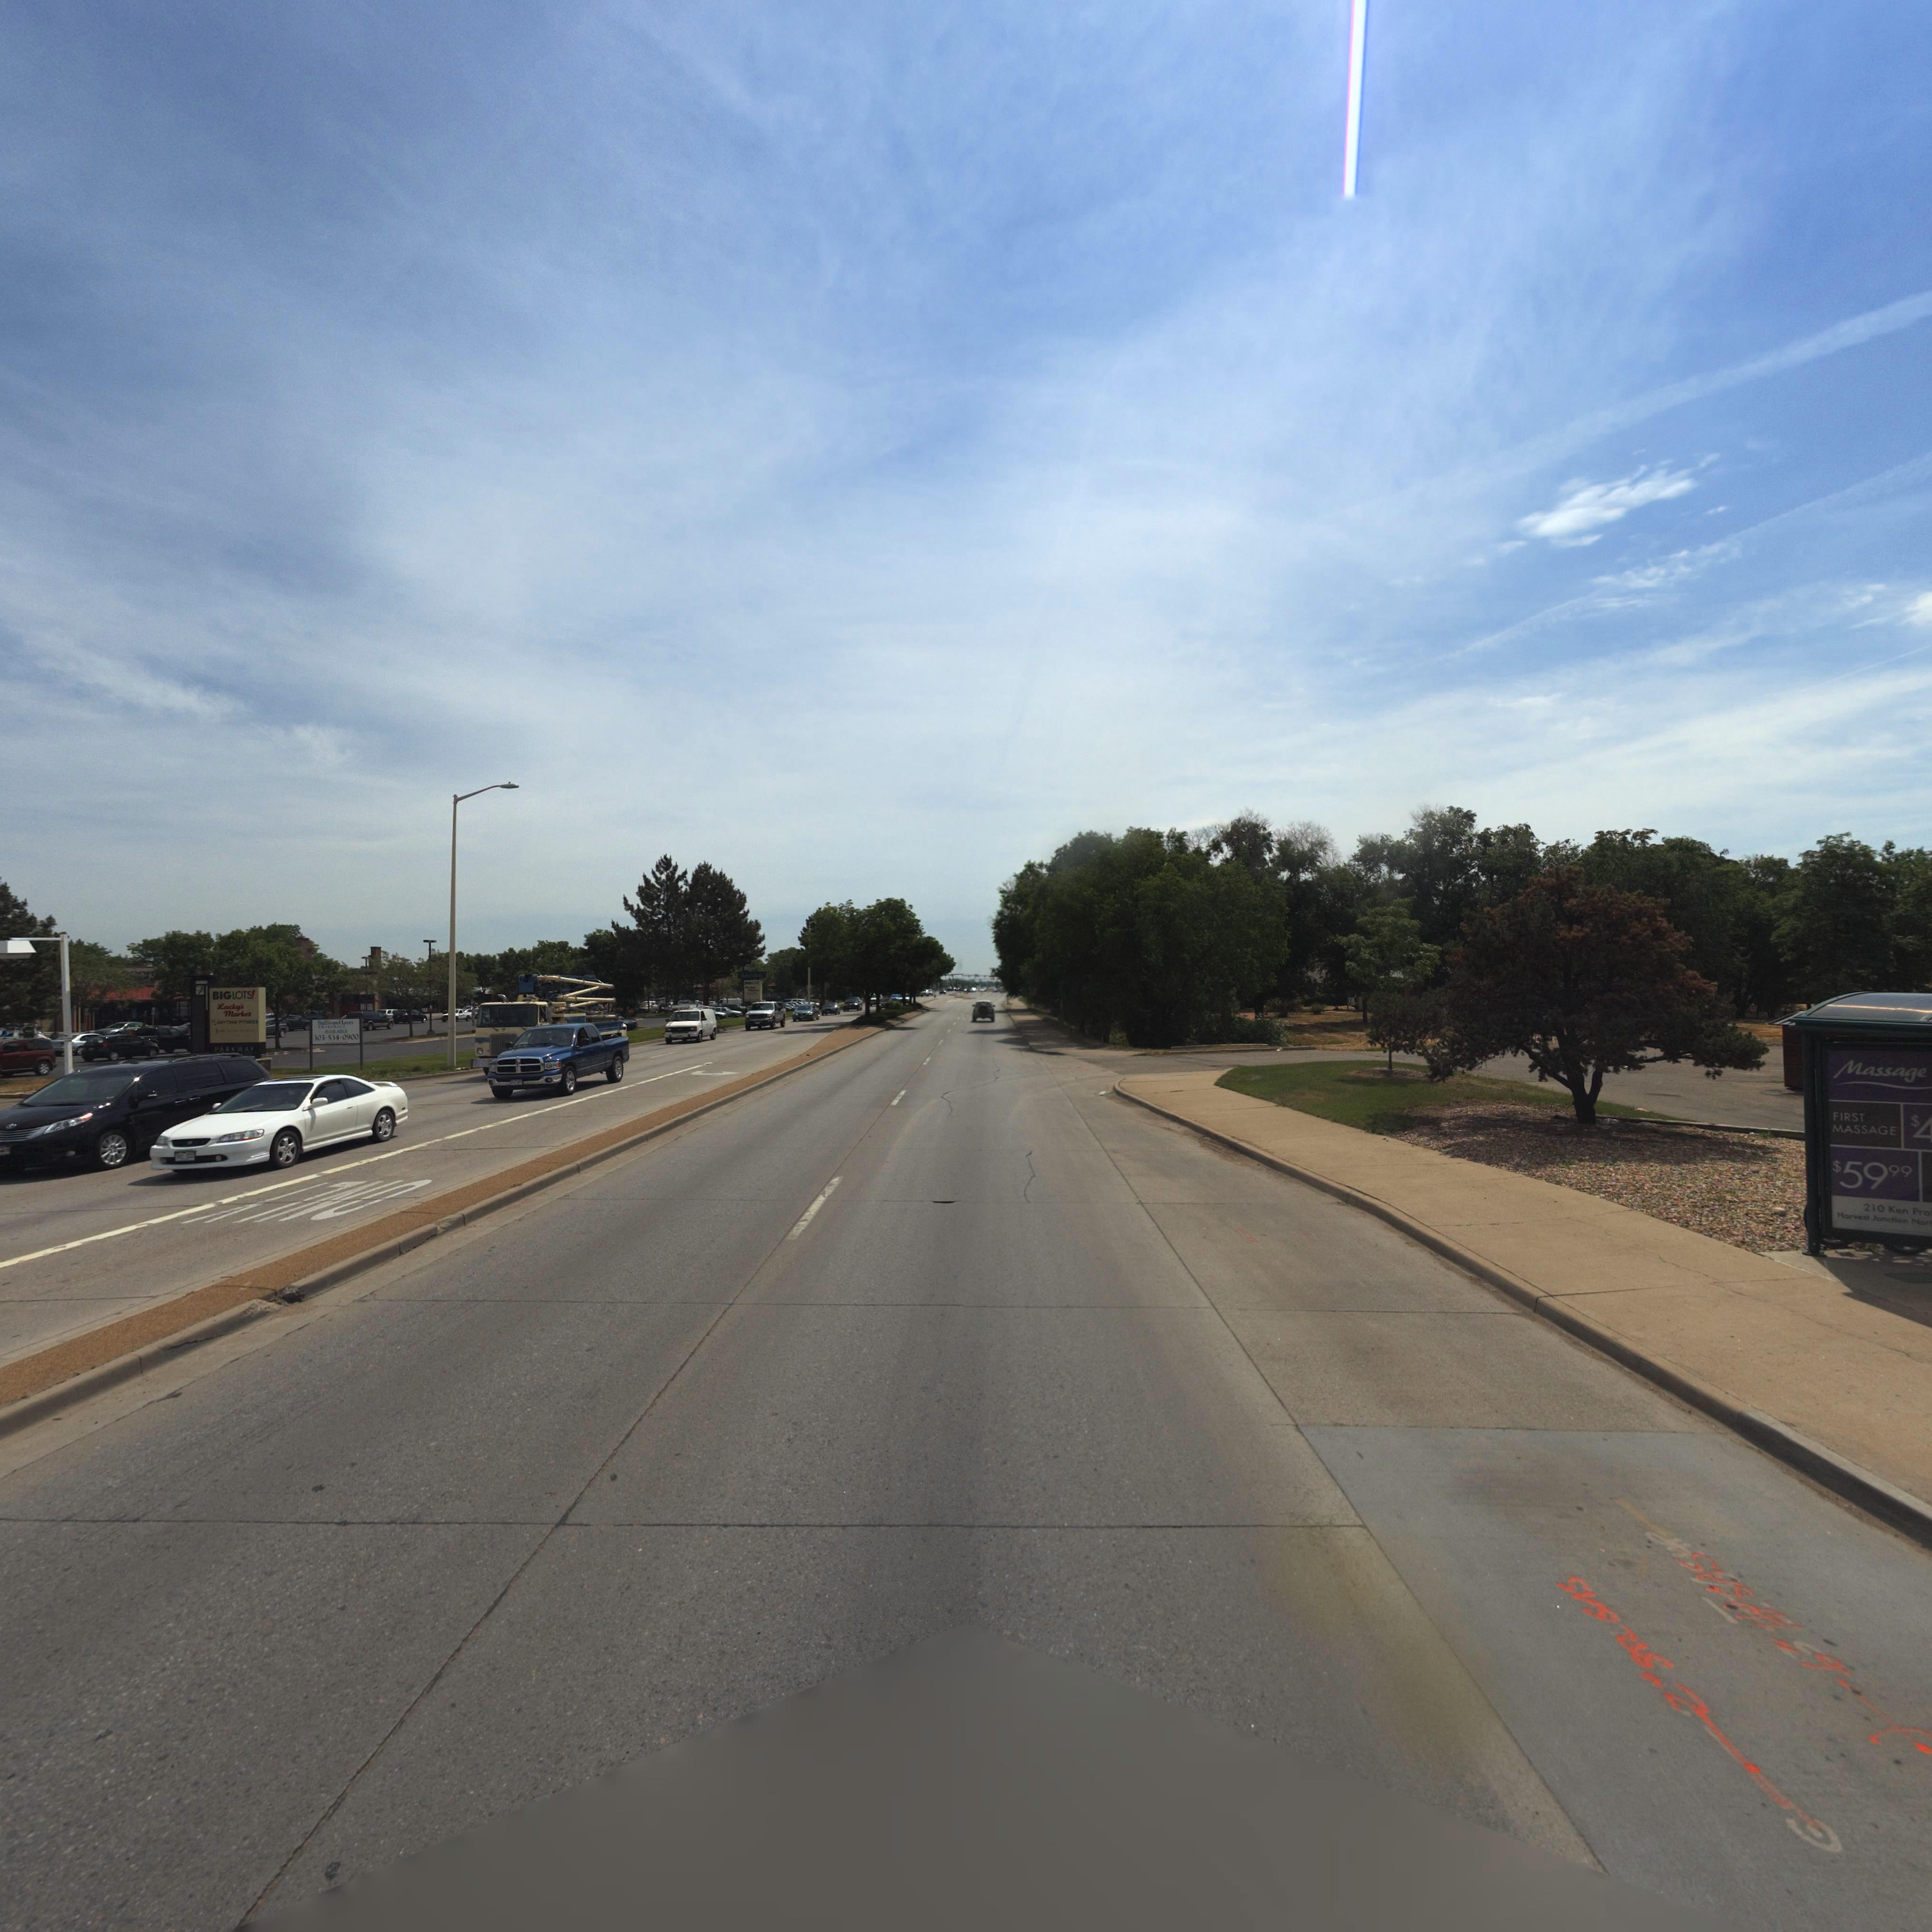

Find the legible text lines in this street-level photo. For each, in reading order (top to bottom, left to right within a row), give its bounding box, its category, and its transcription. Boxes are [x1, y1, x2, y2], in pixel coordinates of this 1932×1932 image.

[212, 989, 256, 1000] BusinessName: BIGLOTS*
[215, 1002, 244, 1012] BusinessName: Lucky's
[223, 1010, 251, 1017] BusinessName: Marks
[1831, 1058, 1928, 1084] BusinessName: Massage